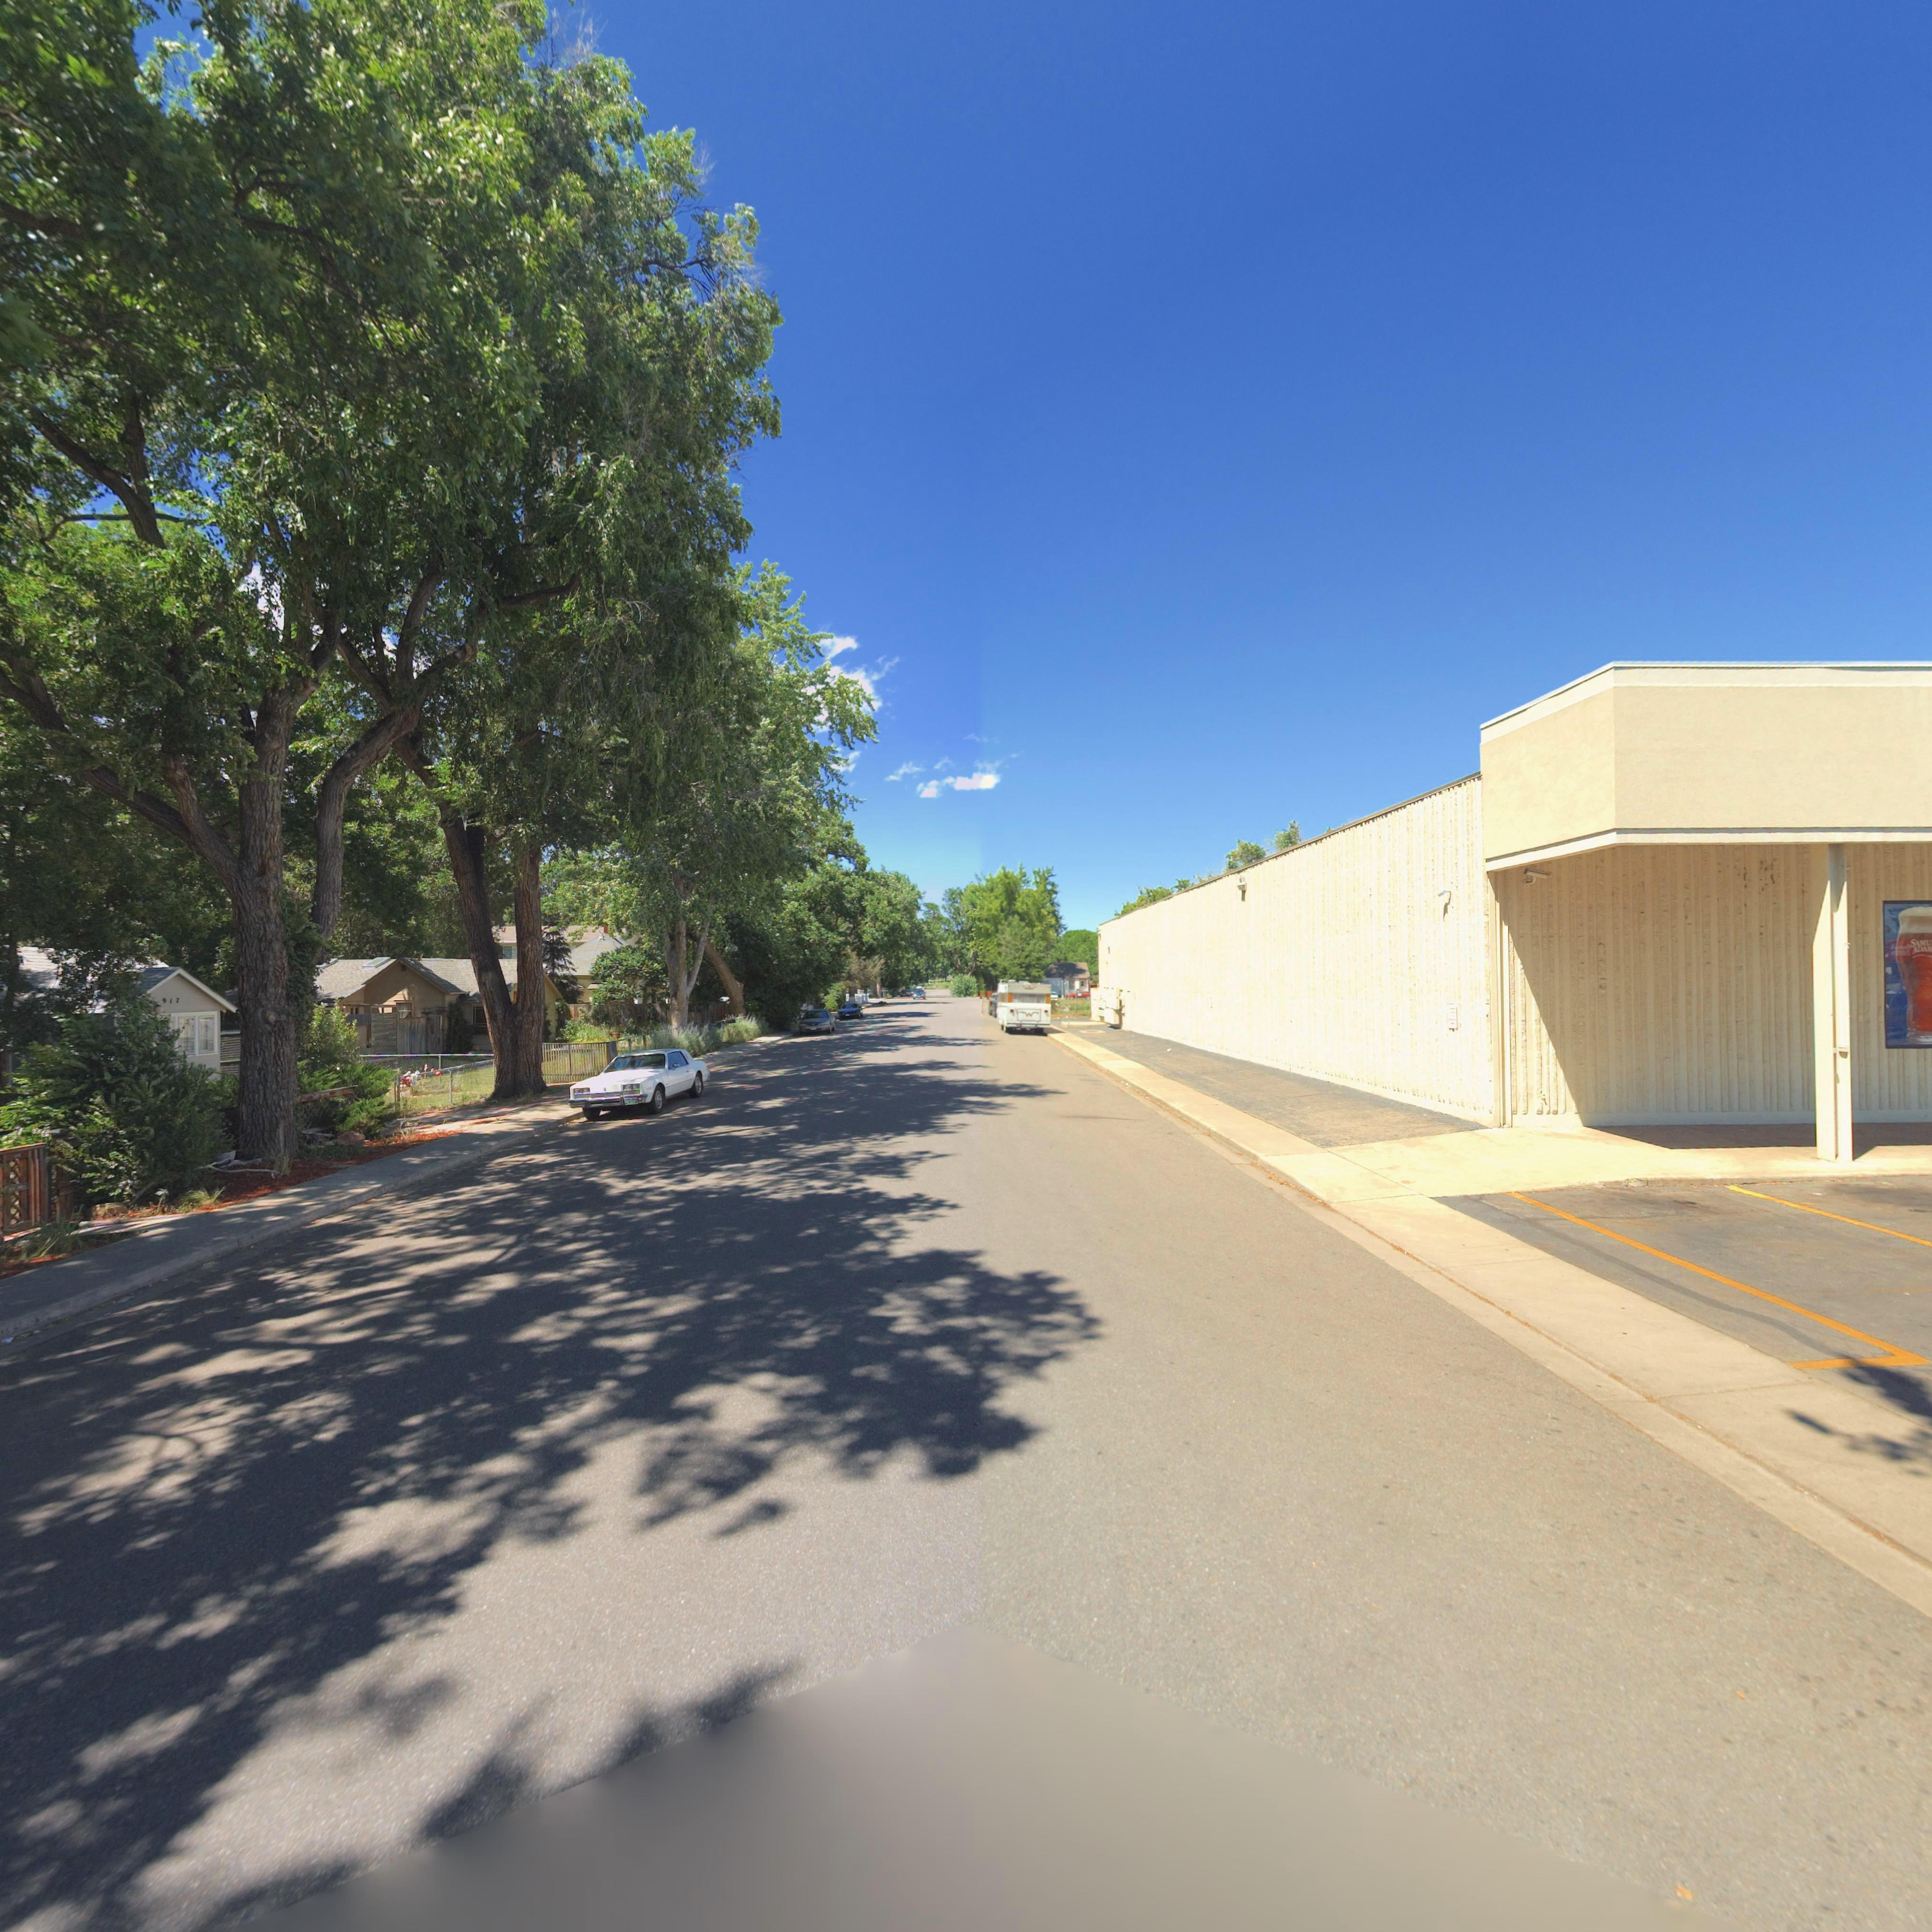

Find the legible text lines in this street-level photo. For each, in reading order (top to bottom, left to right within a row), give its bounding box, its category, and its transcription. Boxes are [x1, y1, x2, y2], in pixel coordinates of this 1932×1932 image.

[162, 997, 179, 1004] StreetNumber: 917